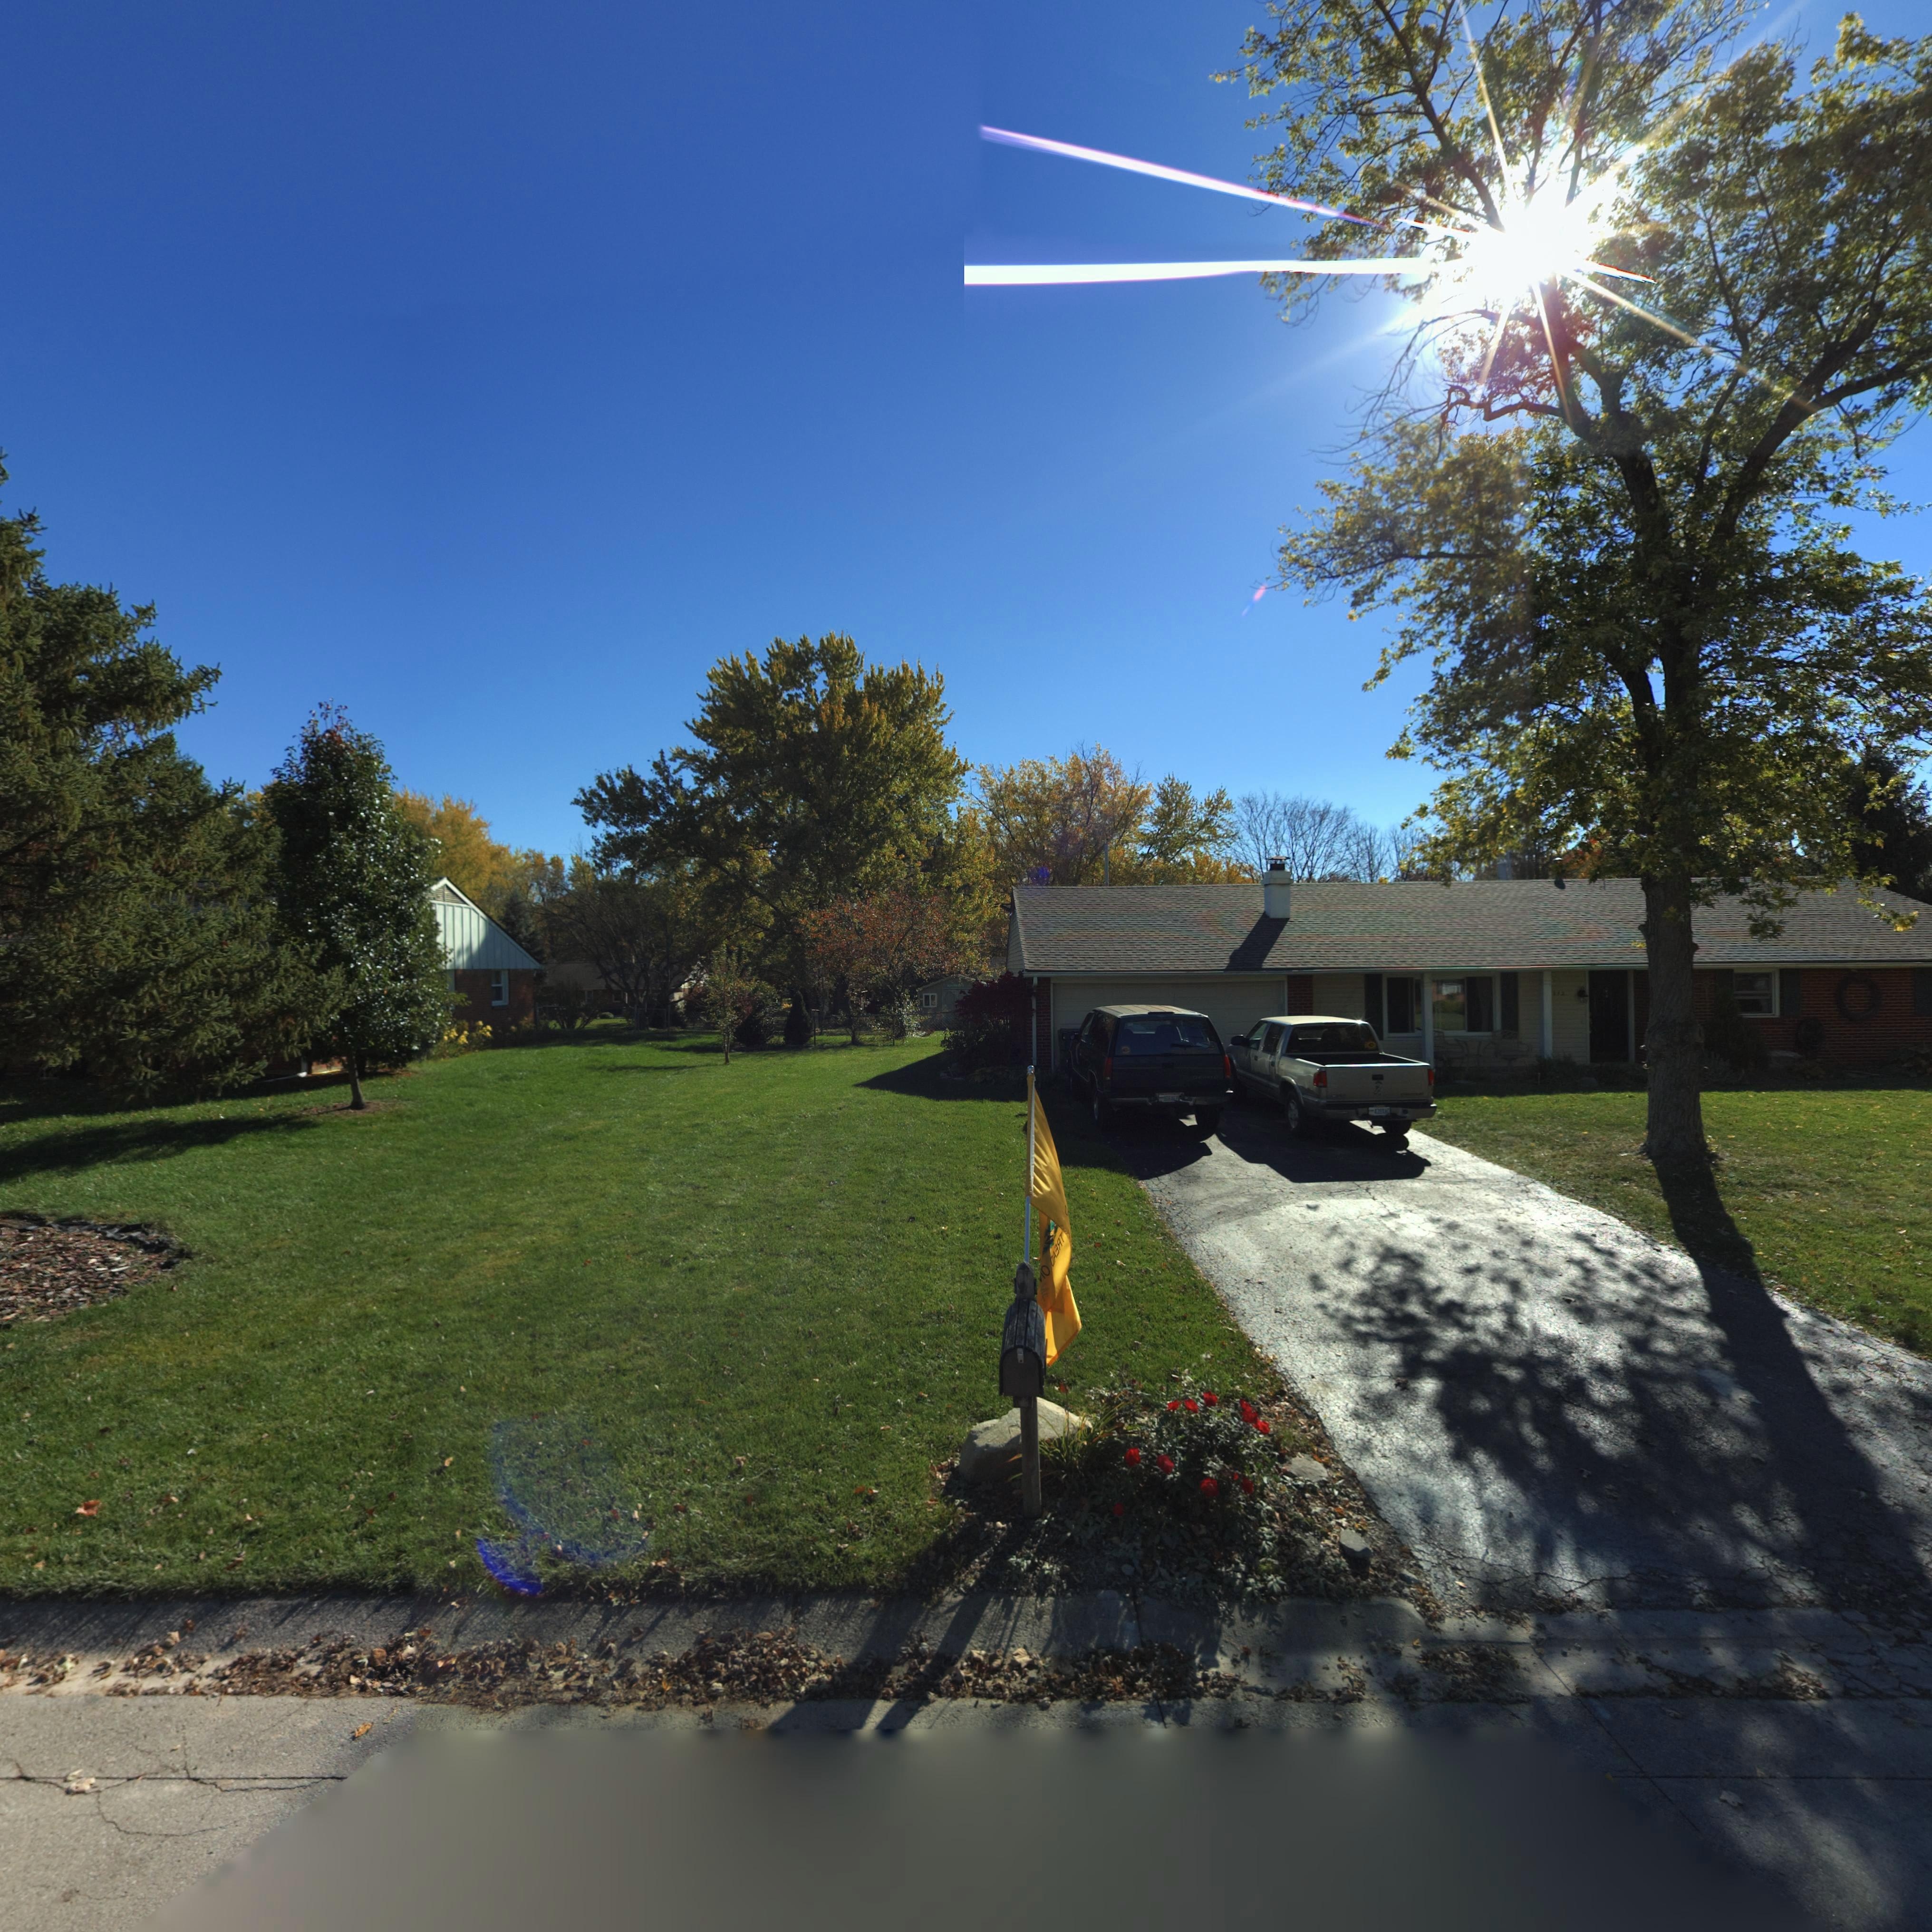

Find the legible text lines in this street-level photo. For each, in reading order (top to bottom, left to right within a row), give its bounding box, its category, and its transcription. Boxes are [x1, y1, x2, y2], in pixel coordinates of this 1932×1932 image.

[1552, 990, 1565, 996] StreetNumber: *12
[1163, 1095, 1176, 1101] None: *08**
[1374, 1108, 1391, 1114] None: 43***C